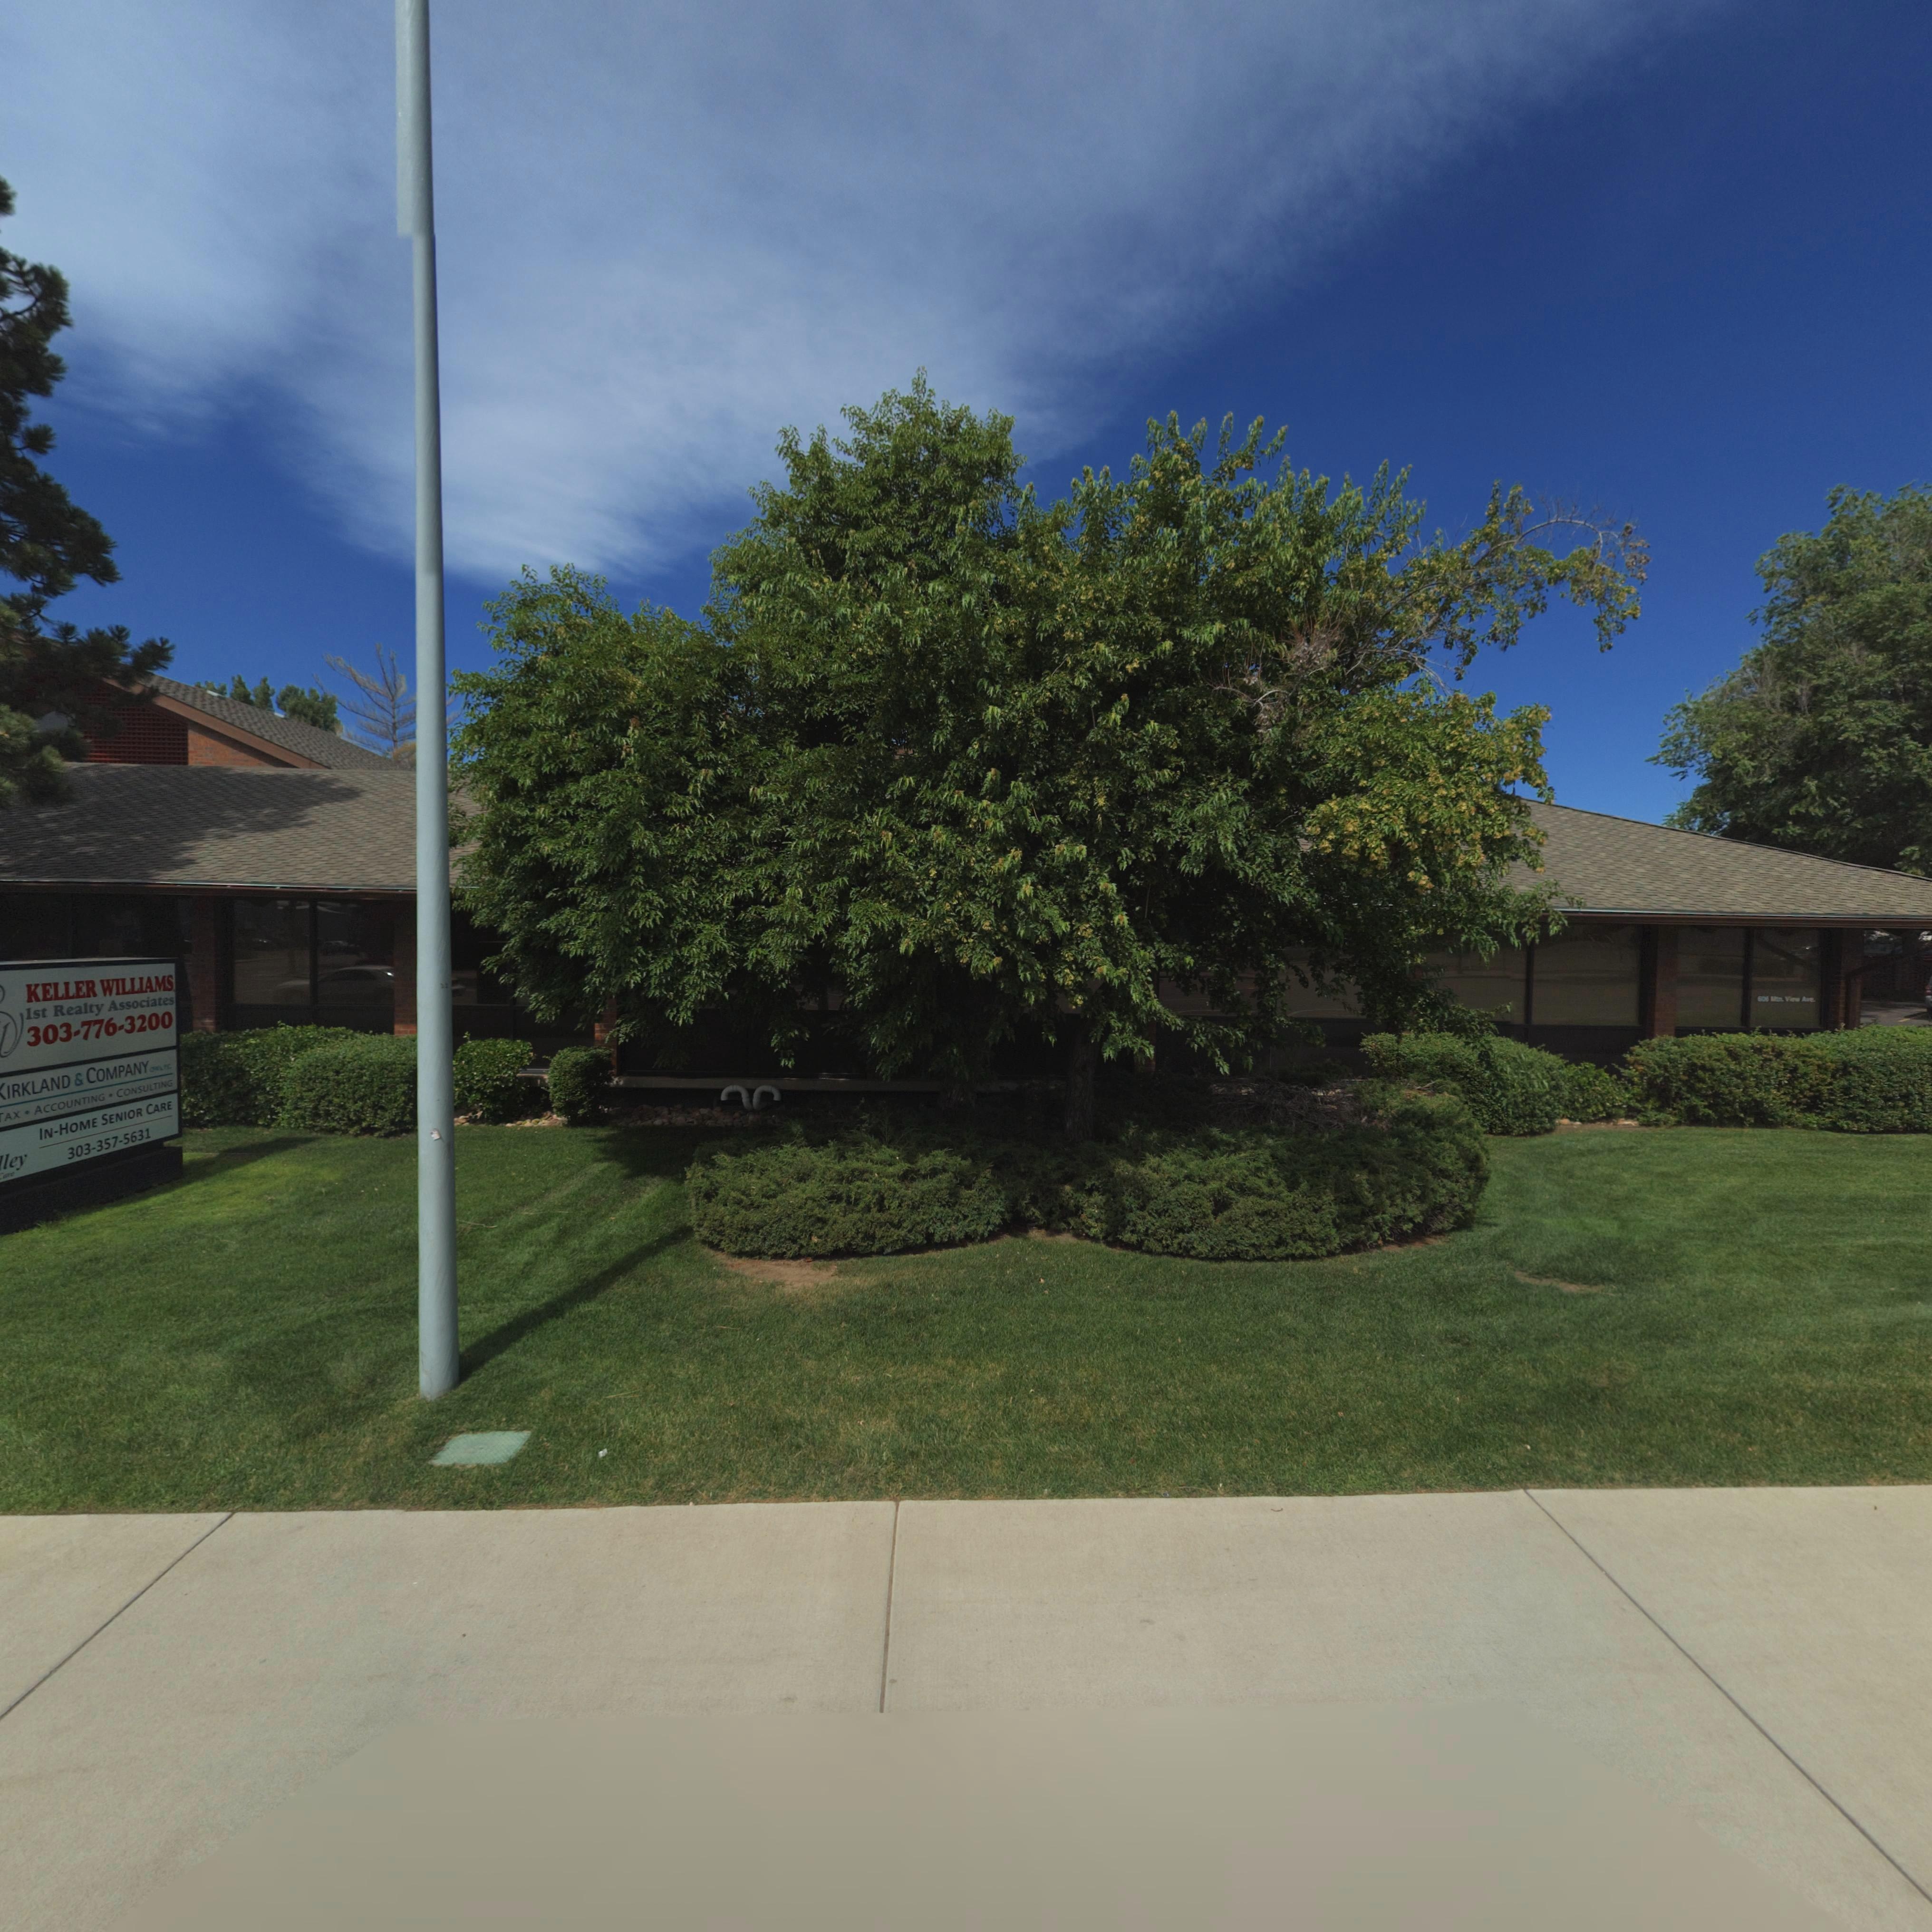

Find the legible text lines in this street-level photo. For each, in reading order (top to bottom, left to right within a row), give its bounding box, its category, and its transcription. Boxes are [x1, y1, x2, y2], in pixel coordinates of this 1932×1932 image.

[25, 974, 174, 1004] BusinessName: KELLER WILLIAMS
[24, 996, 174, 1021] BusinessName: 1st Realty Associates
[7, 1060, 150, 1100] BusinessName: IRKLAND & COMPANY
[39, 1100, 173, 1141] BusinessName: IN-HOME SENIOR CARE
[2, 1152, 28, 1172] BusinessName: ley